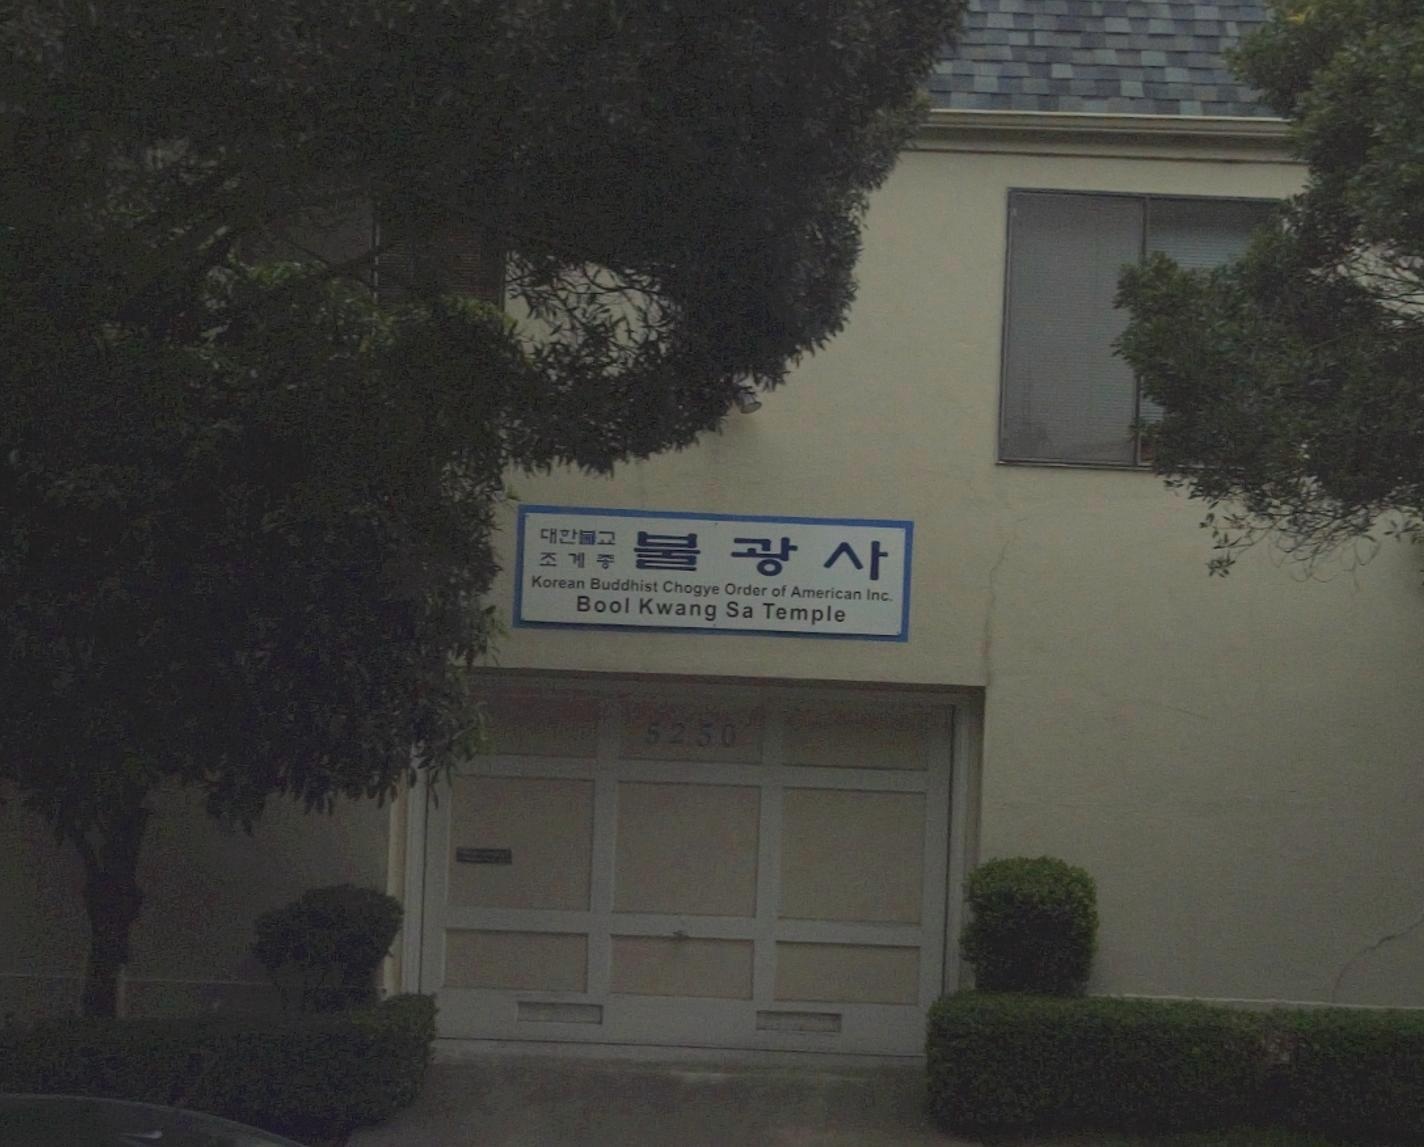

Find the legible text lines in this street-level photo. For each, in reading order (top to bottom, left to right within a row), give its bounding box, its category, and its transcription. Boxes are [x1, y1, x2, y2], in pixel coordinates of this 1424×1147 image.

[529, 573, 895, 604] BusinessName: Korean Buddhist Chogye Order of American Inc.
[573, 592, 848, 628] BusinessName: Bool Kwang Sa Temple
[644, 720, 739, 750] StreetNumber: 5250